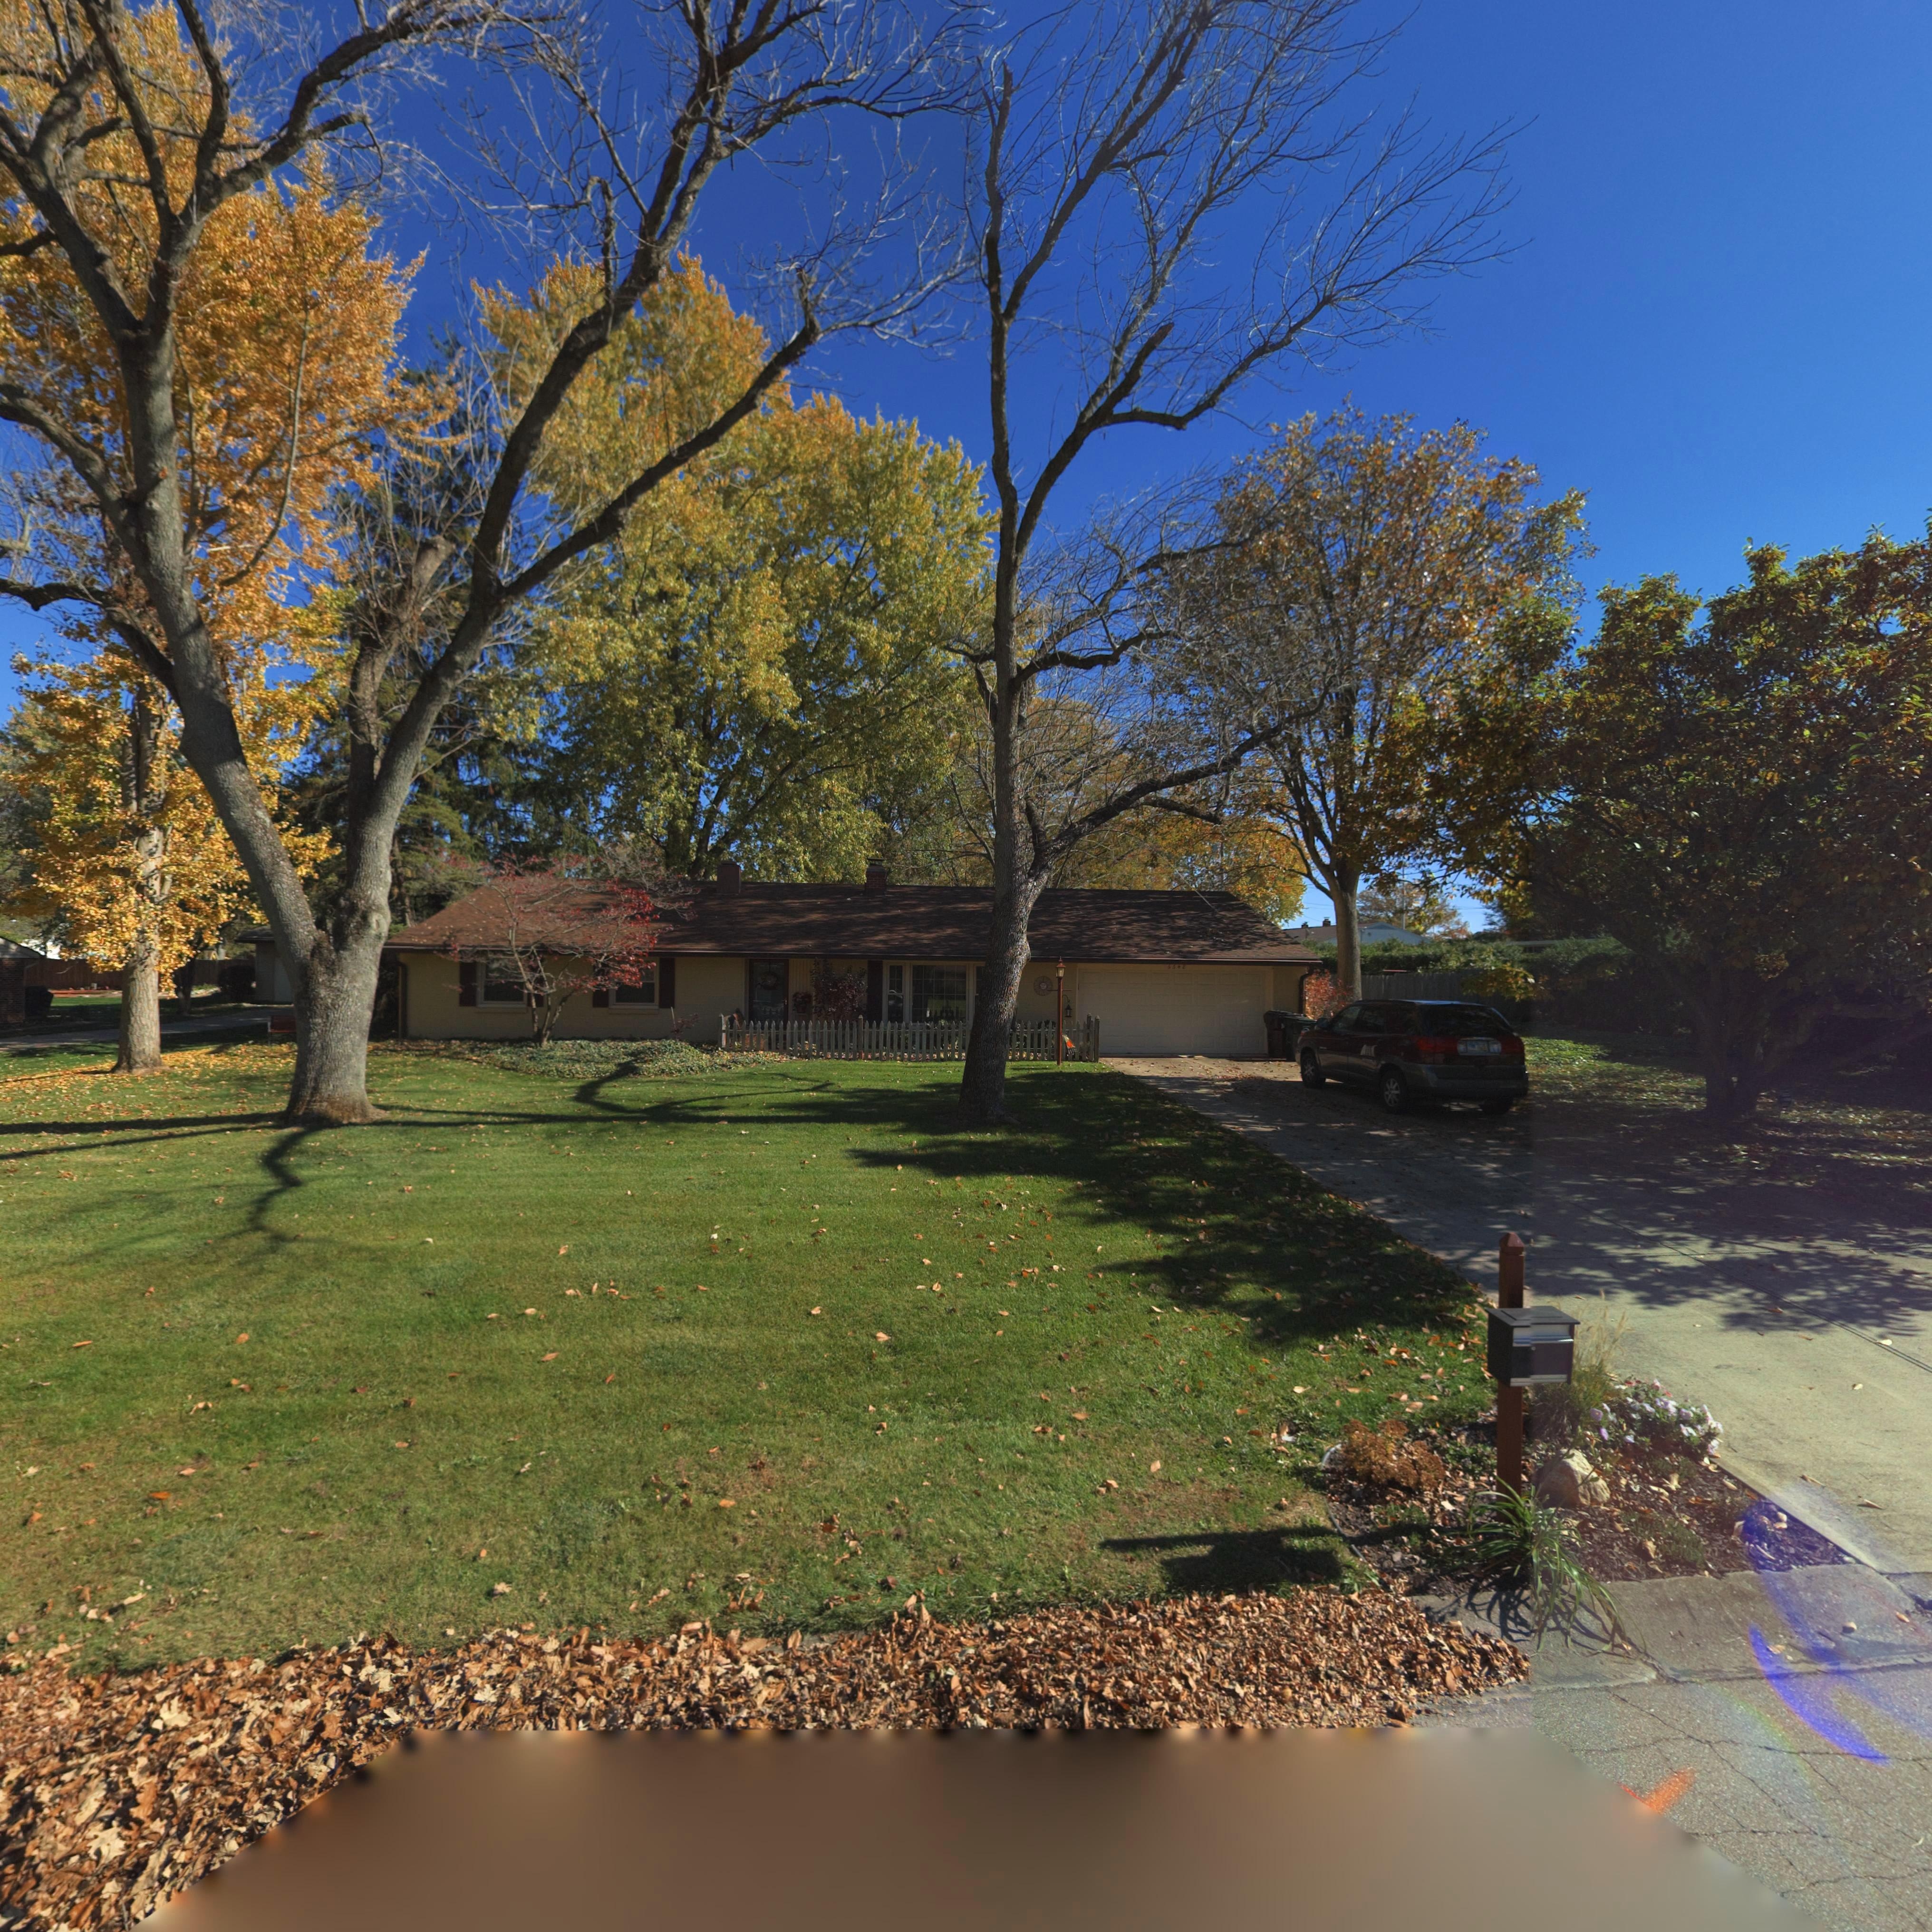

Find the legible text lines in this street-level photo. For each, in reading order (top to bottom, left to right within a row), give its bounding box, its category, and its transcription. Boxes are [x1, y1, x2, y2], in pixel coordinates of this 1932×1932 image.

[1167, 964, 1186, 969] StreetNumber: 6648